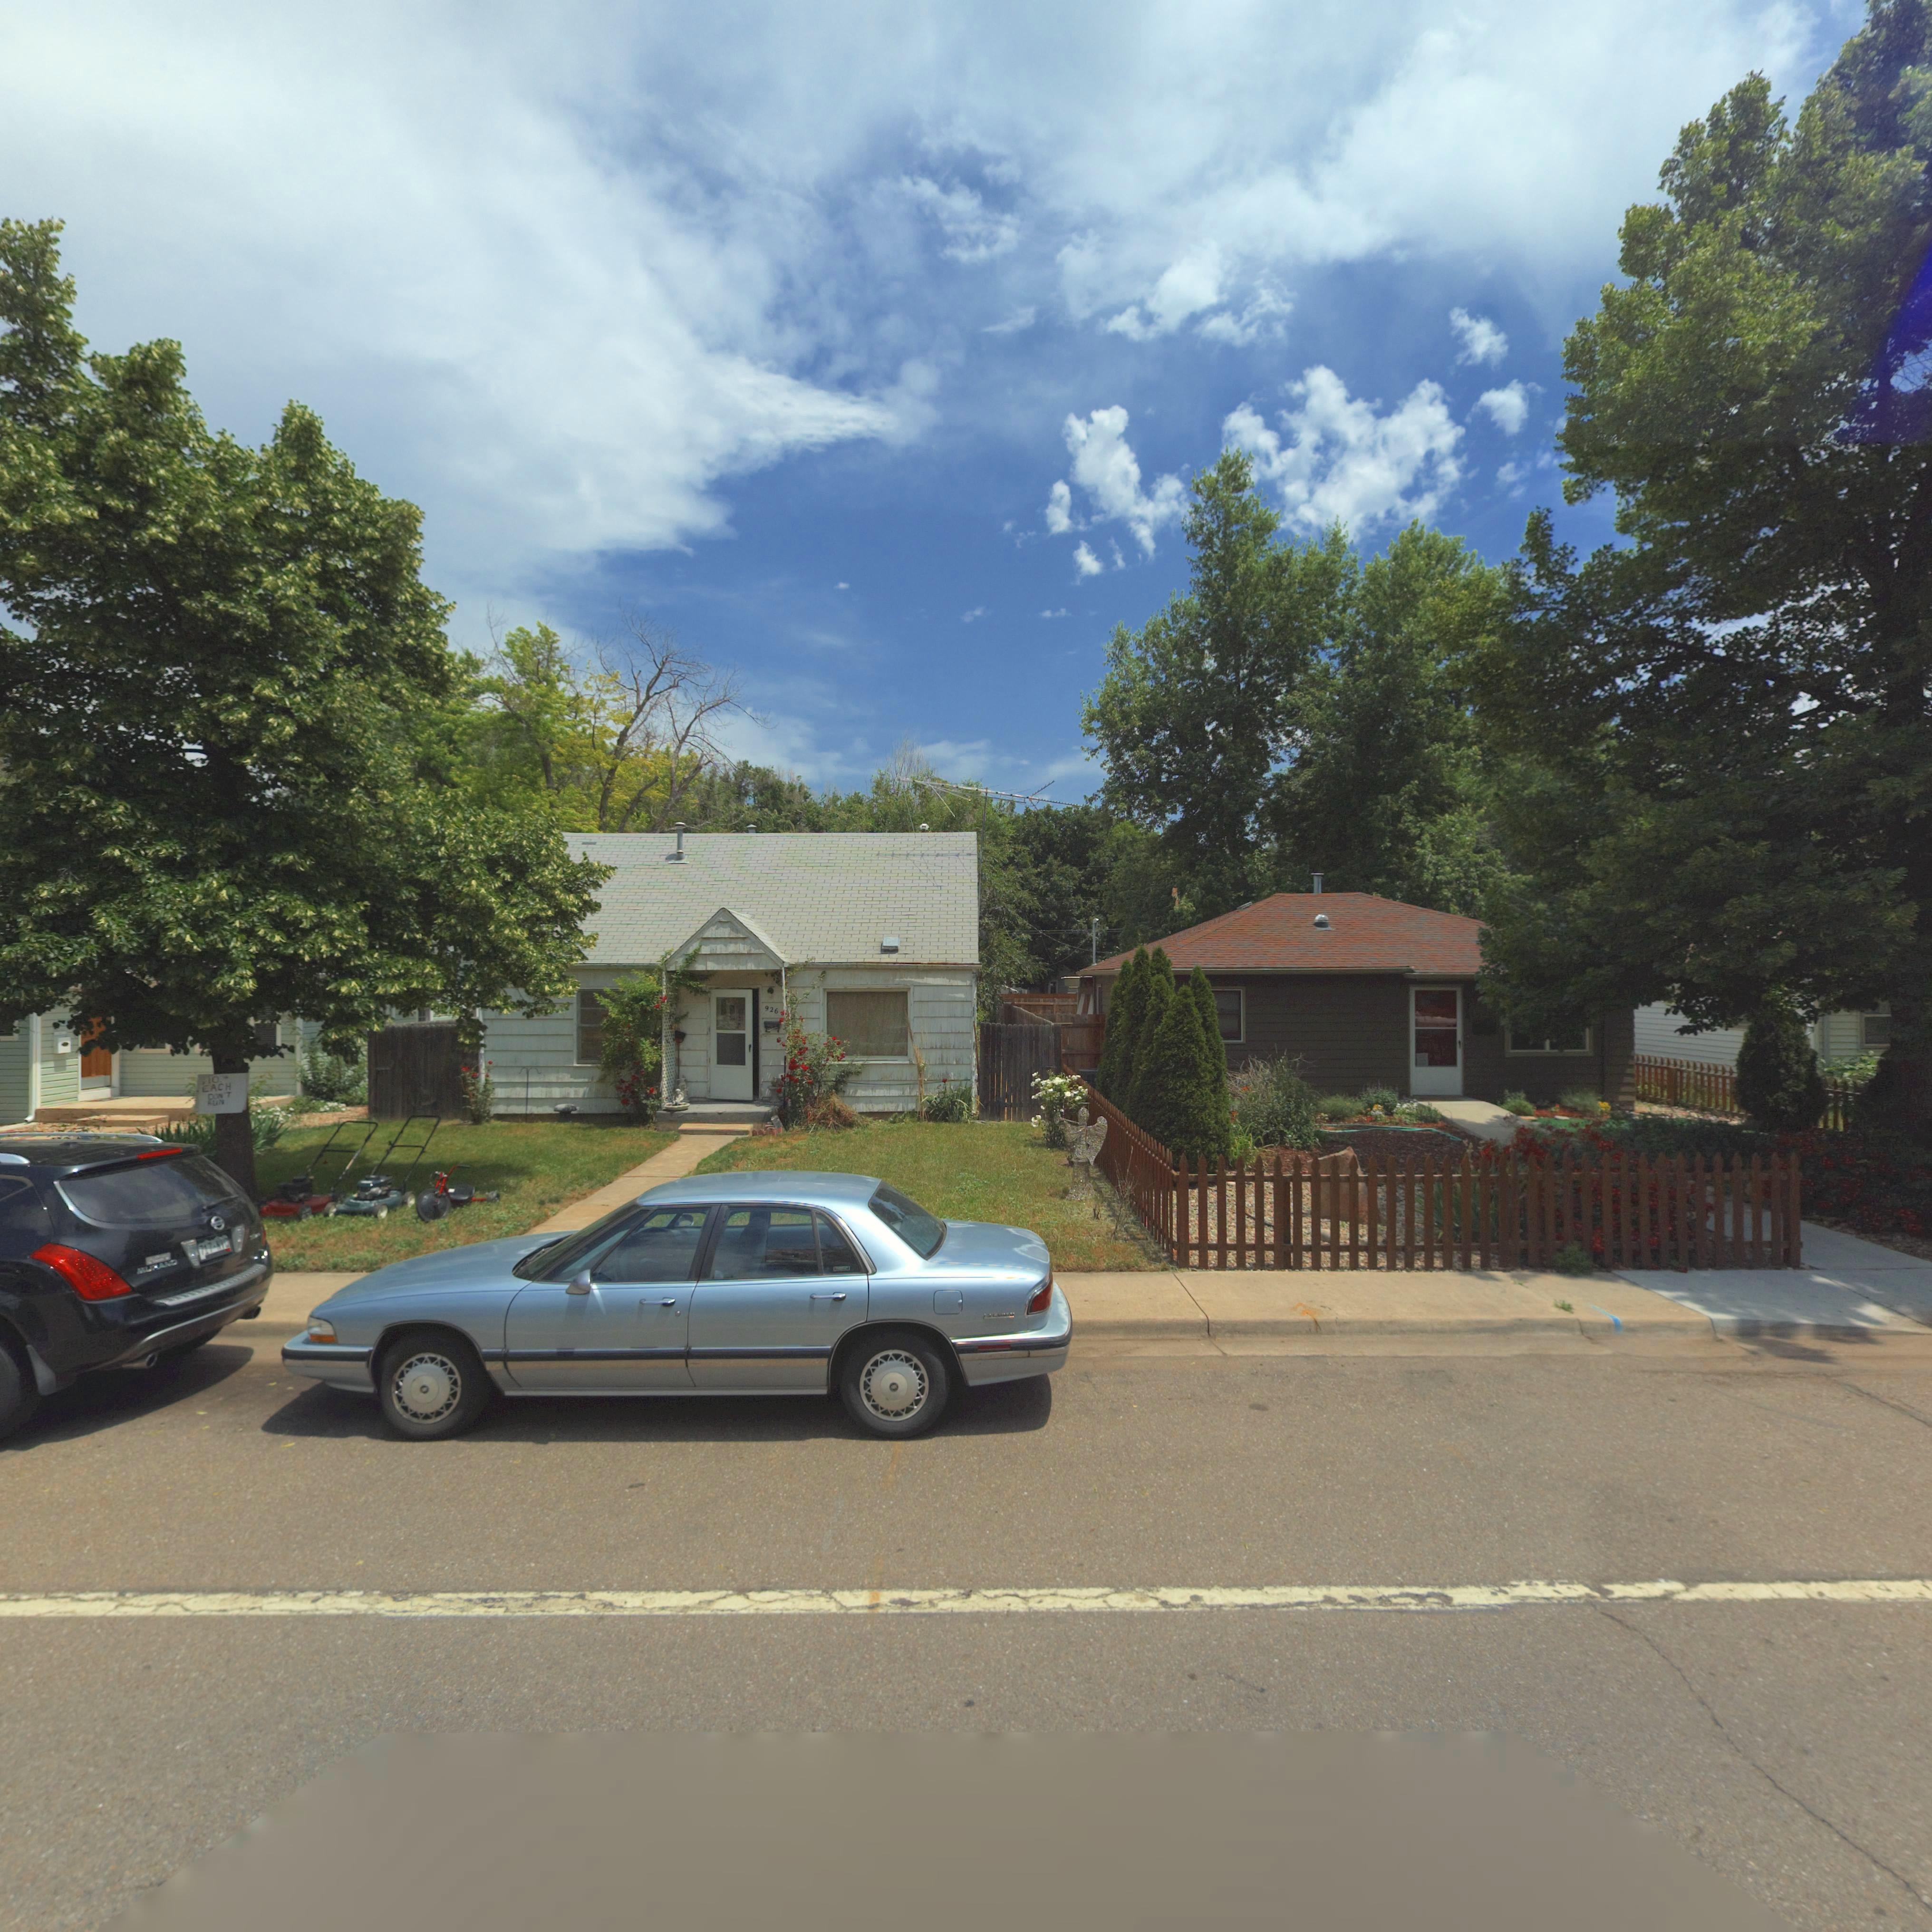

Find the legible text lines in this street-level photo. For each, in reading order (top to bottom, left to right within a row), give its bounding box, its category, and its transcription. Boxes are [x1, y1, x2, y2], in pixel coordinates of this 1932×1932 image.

[764, 1005, 778, 1014] StreetNumber: 926